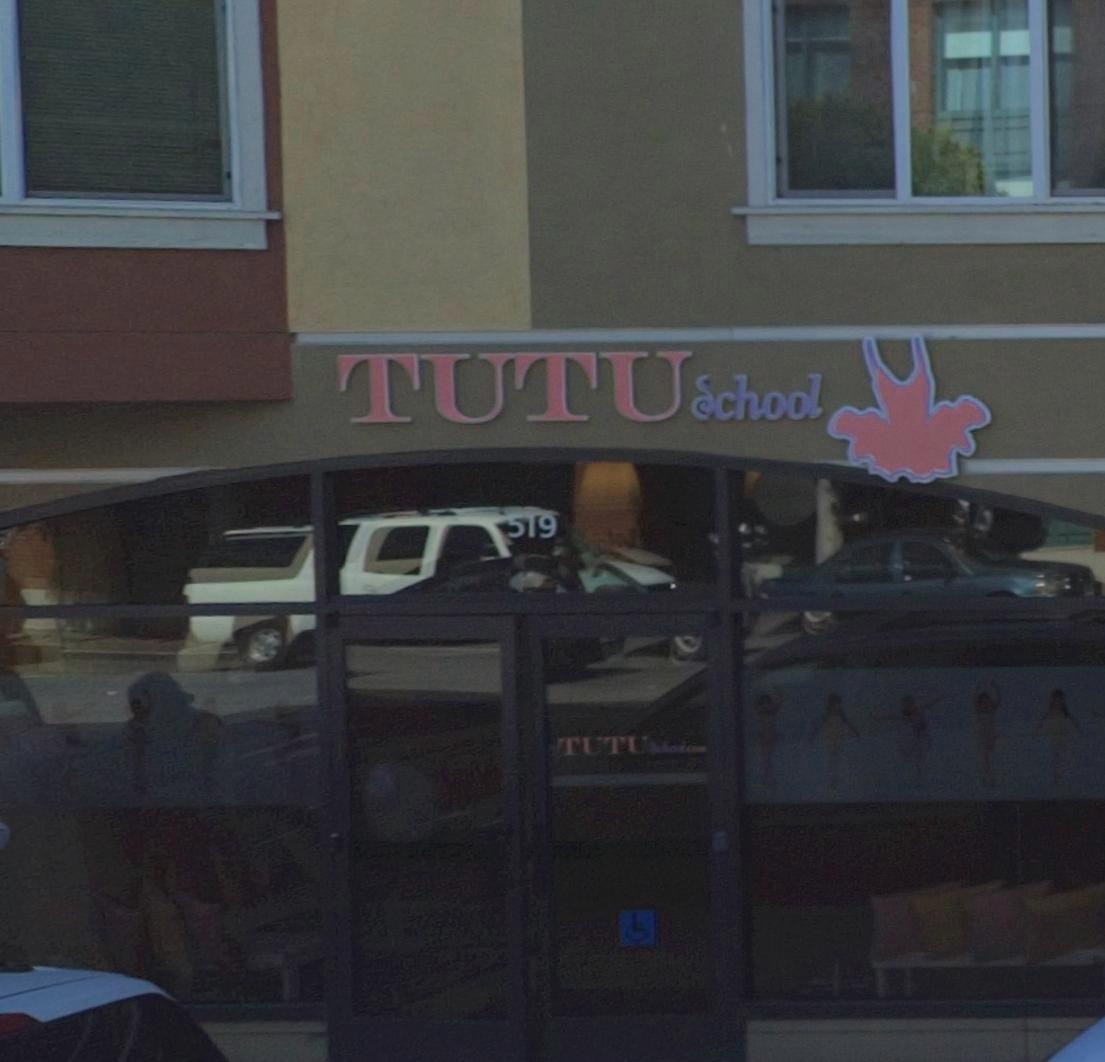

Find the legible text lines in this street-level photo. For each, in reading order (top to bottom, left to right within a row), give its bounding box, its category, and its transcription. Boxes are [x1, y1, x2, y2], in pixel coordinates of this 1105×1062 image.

[333, 348, 825, 426] BusinessName: TUTUSchool
[506, 509, 558, 541] StreetNumber: 519
[552, 732, 648, 759] BusinessName: TUTU